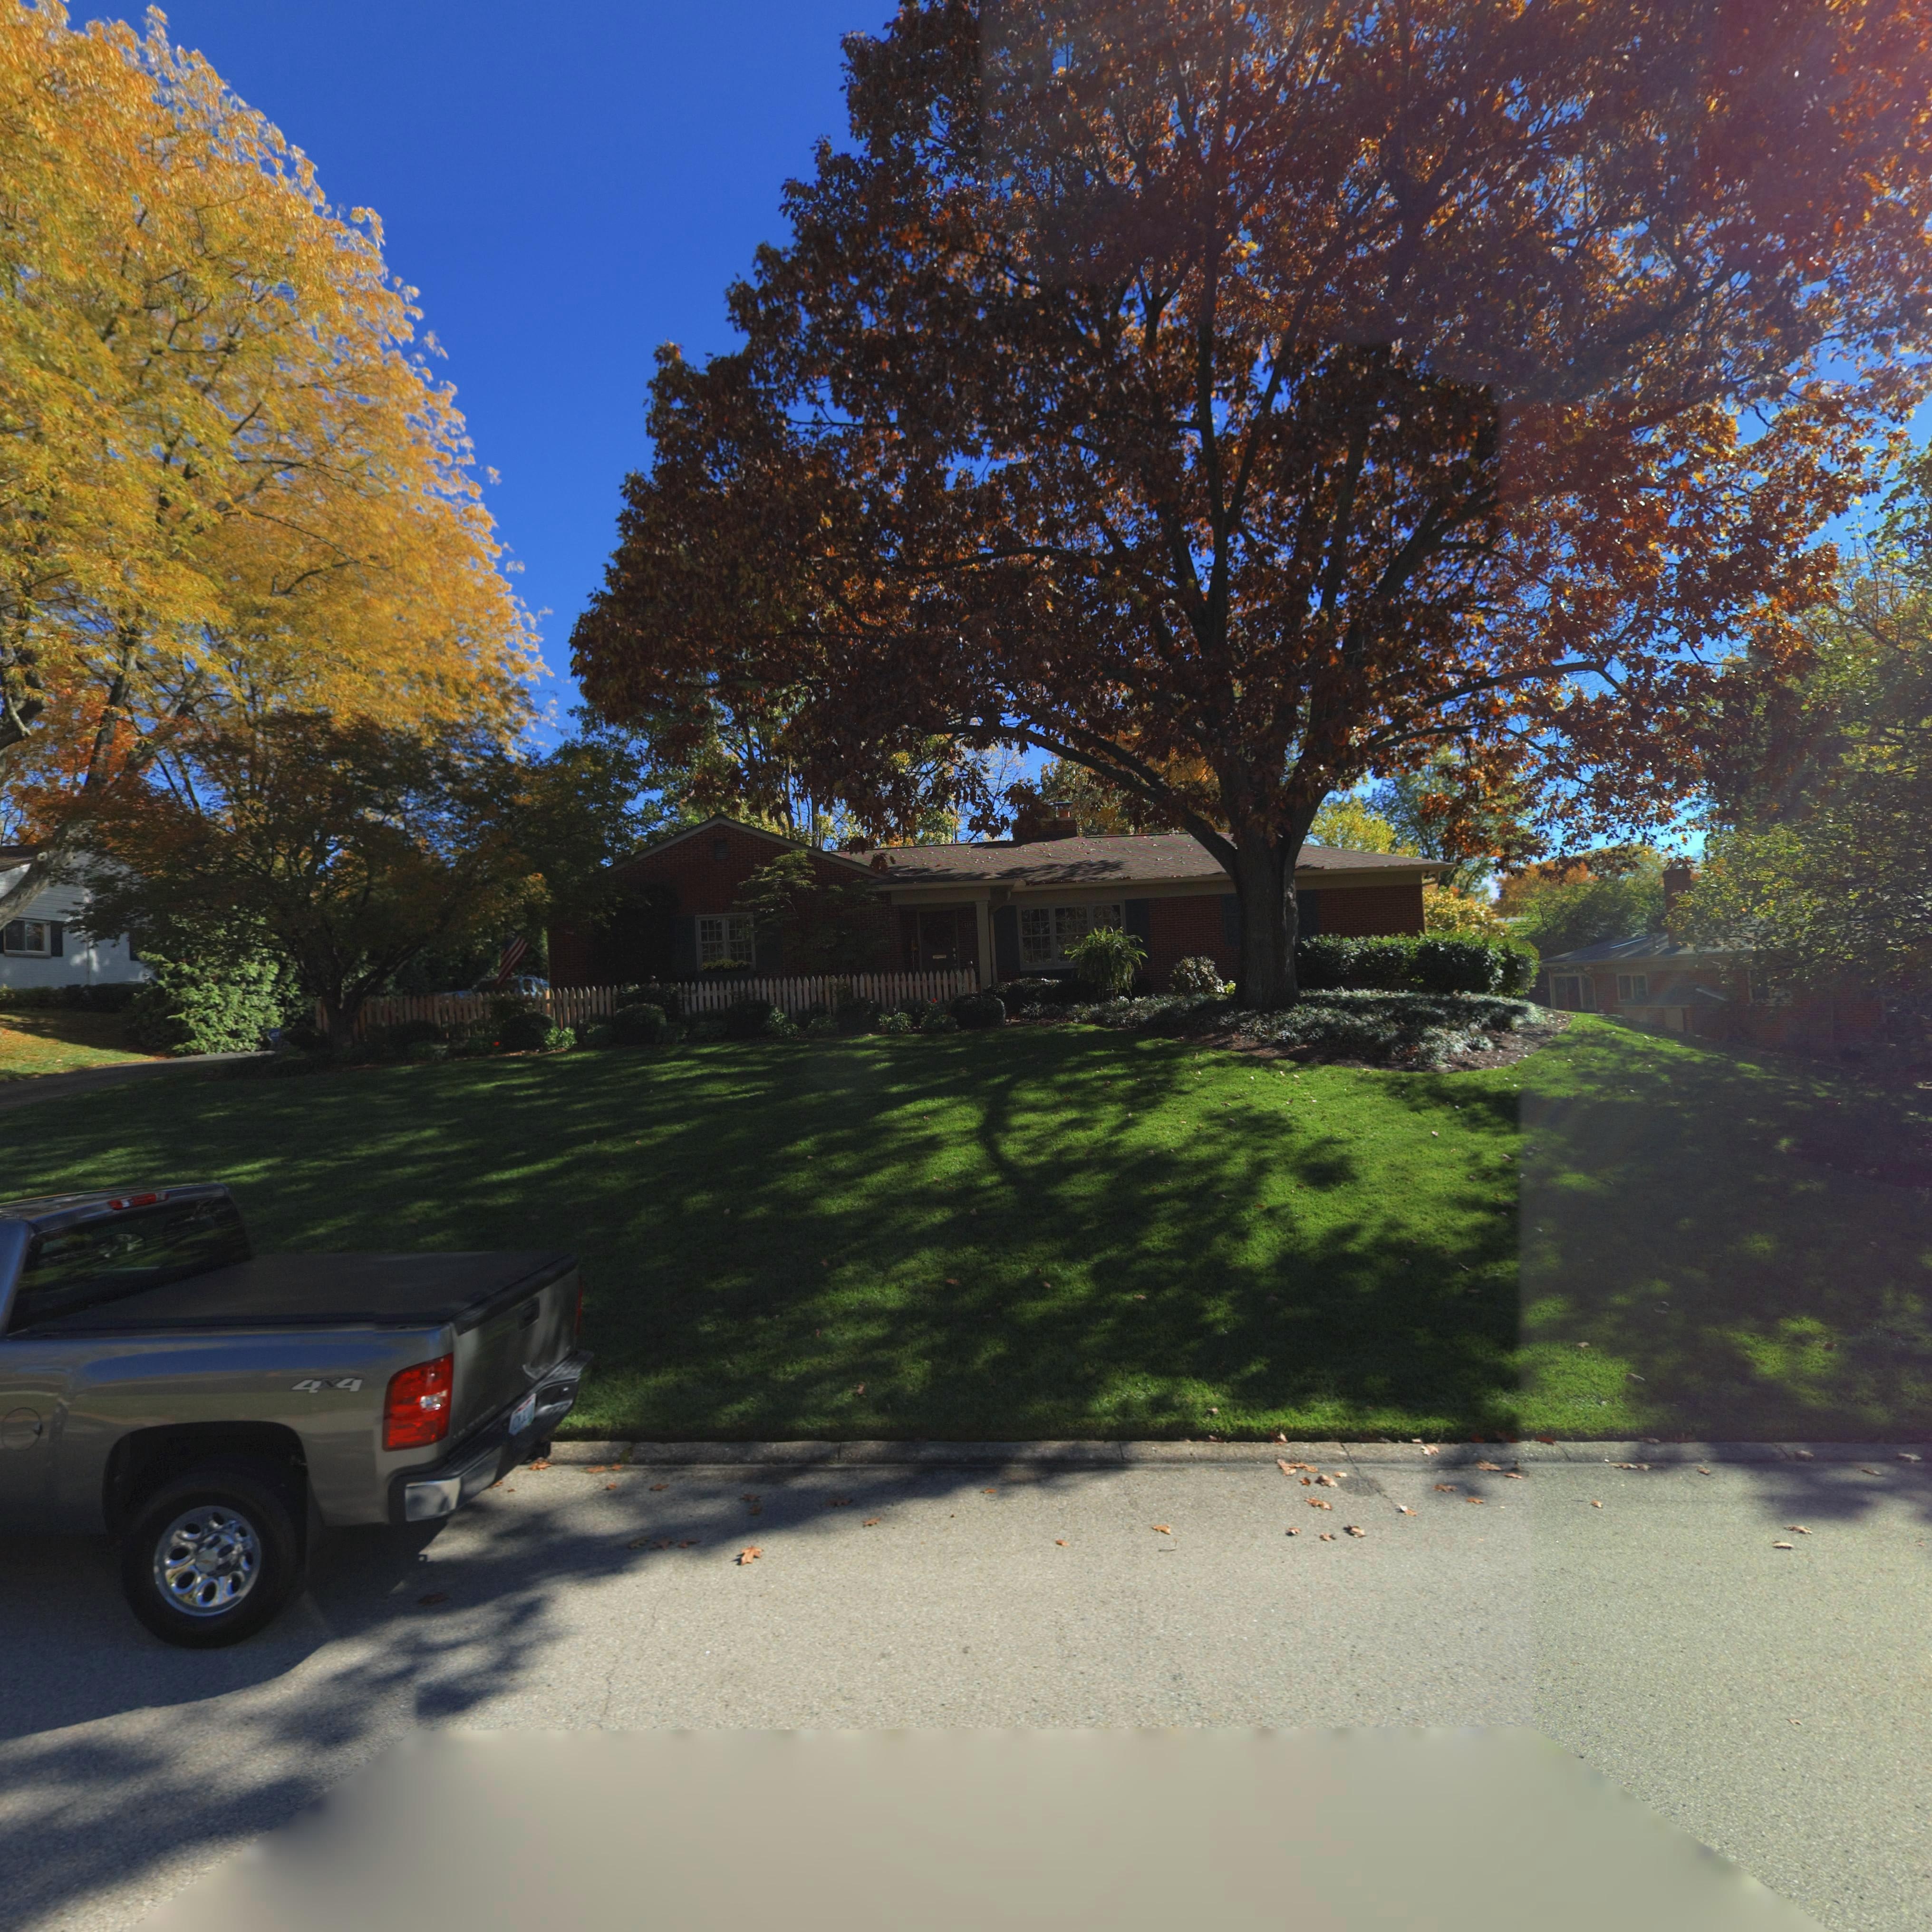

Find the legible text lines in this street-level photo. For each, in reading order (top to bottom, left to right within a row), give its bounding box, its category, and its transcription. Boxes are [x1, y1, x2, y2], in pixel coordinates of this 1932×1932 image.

[963, 922, 974, 927] StreetNumber: 4244